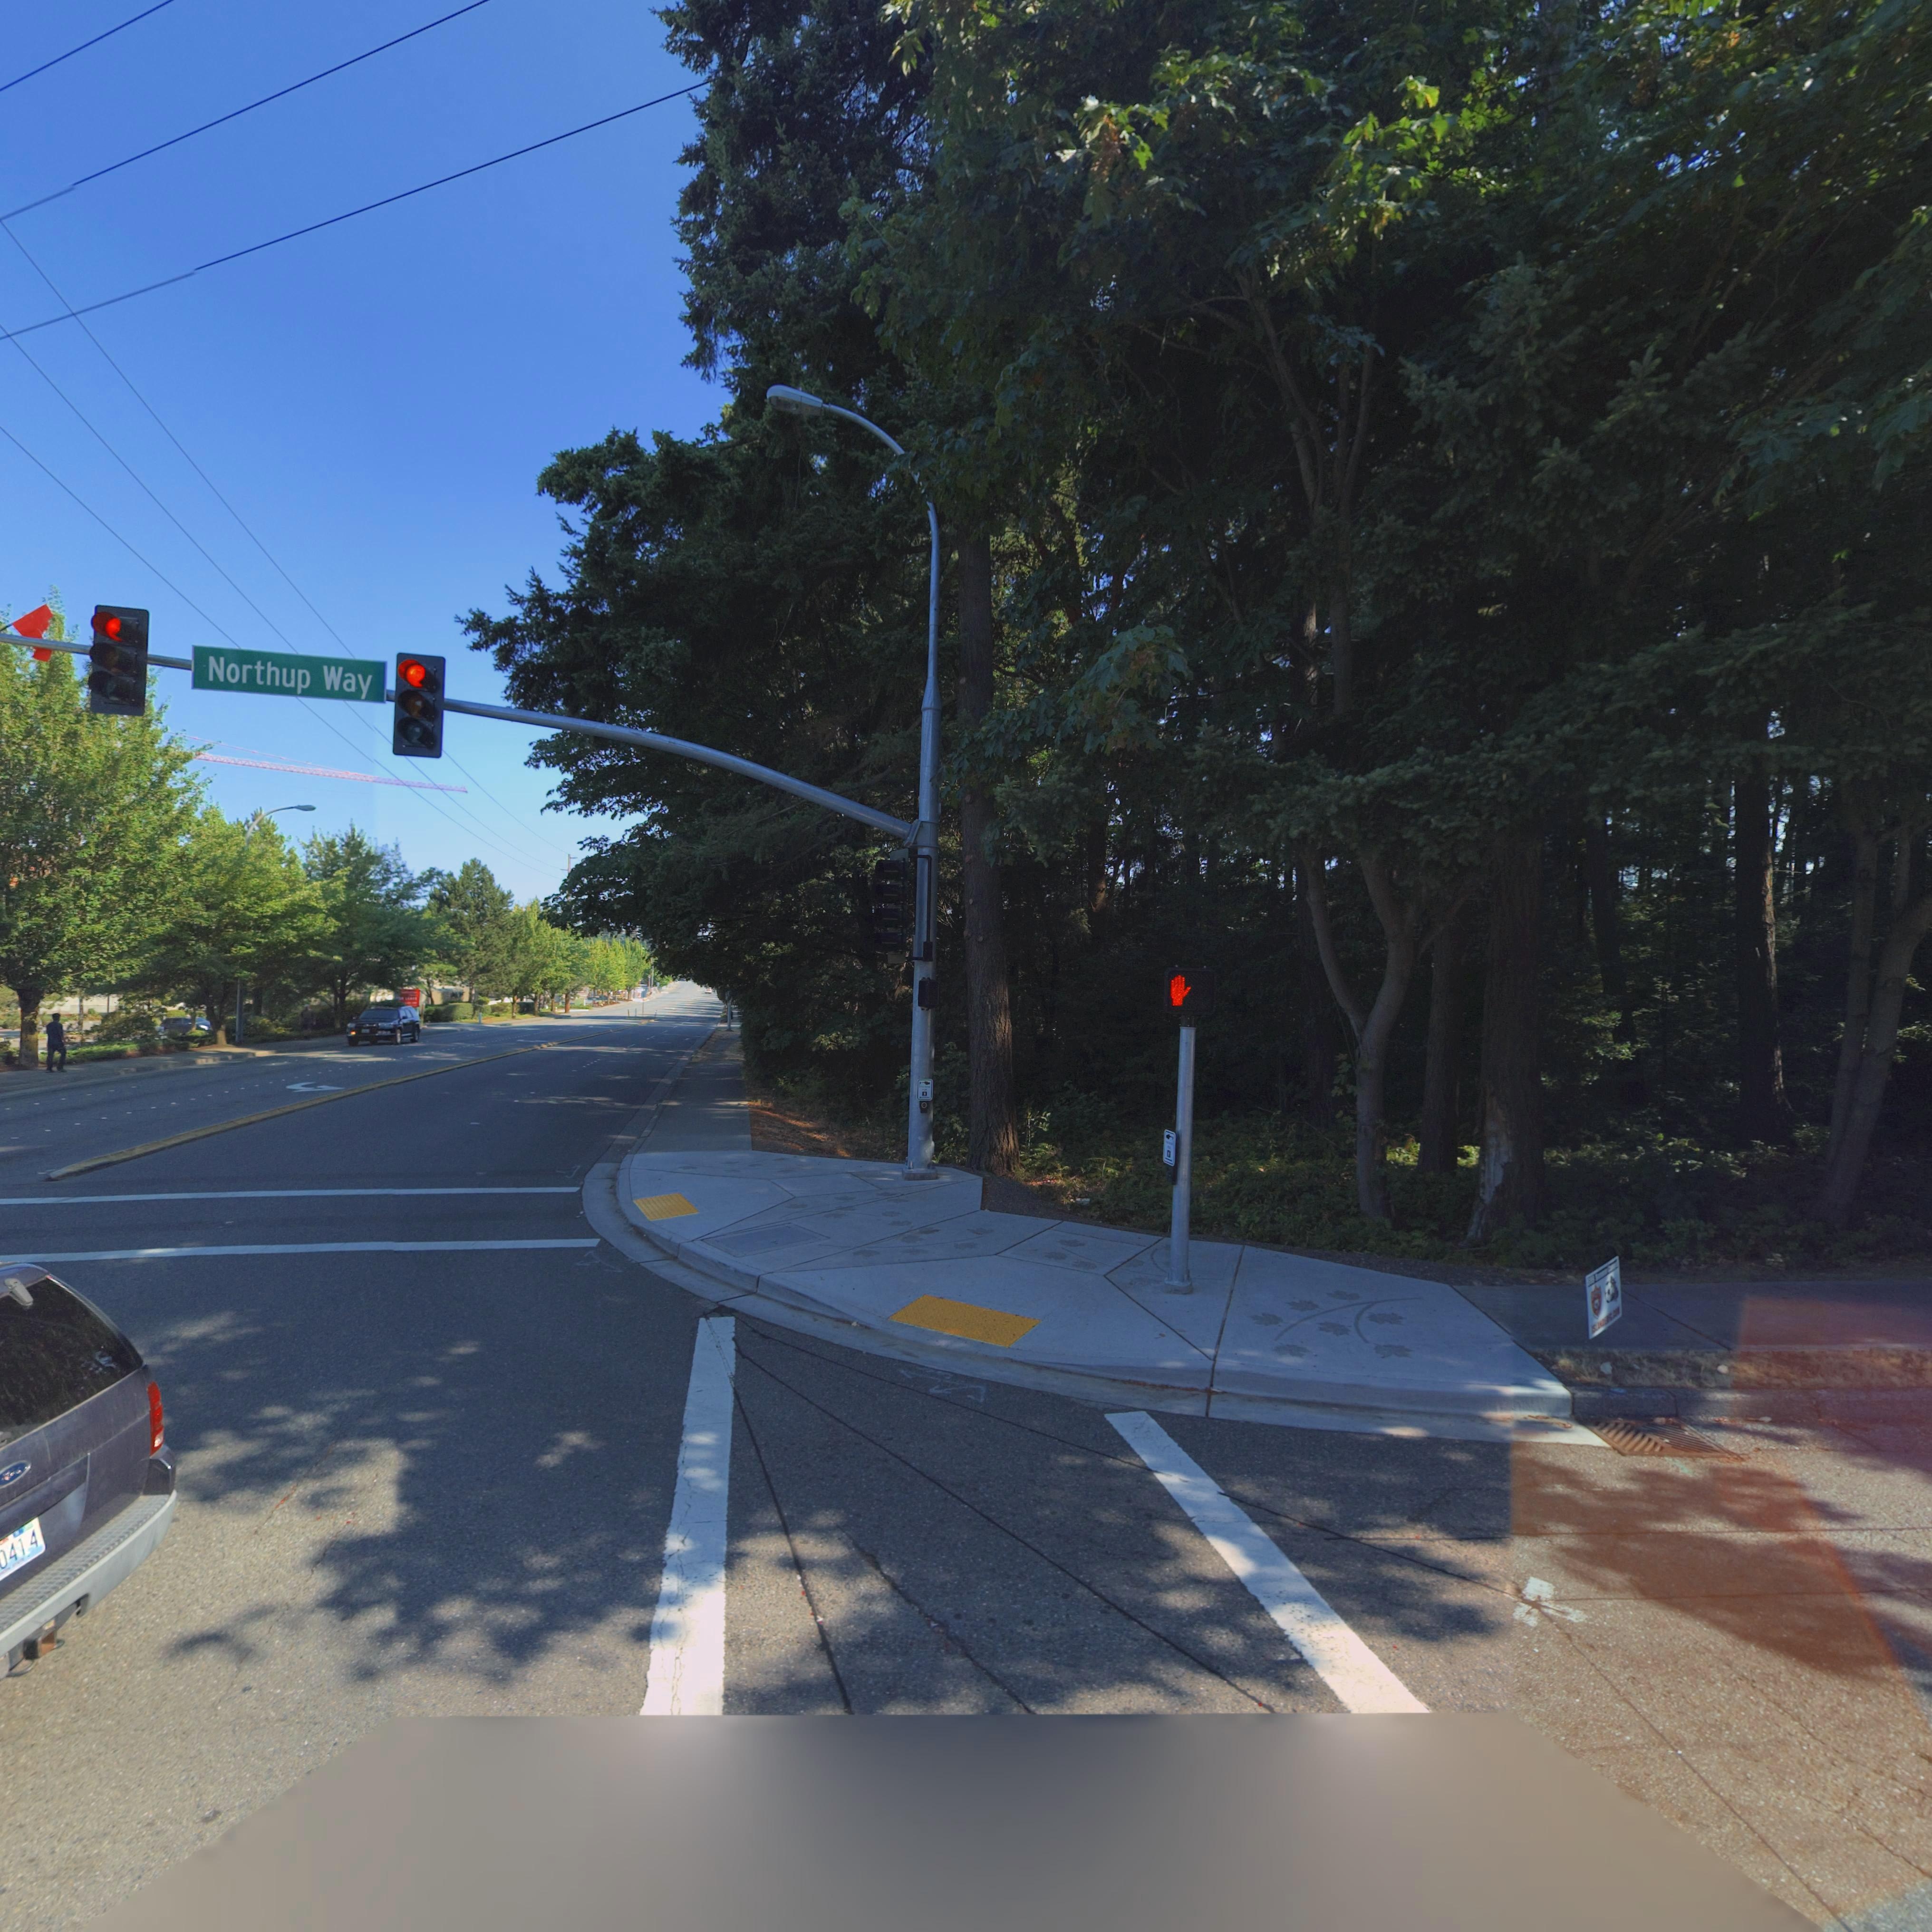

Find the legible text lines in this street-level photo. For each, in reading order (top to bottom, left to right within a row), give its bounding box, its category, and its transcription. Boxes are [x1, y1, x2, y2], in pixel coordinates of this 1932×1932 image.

[208, 656, 372, 700] StreetName: Northup Way